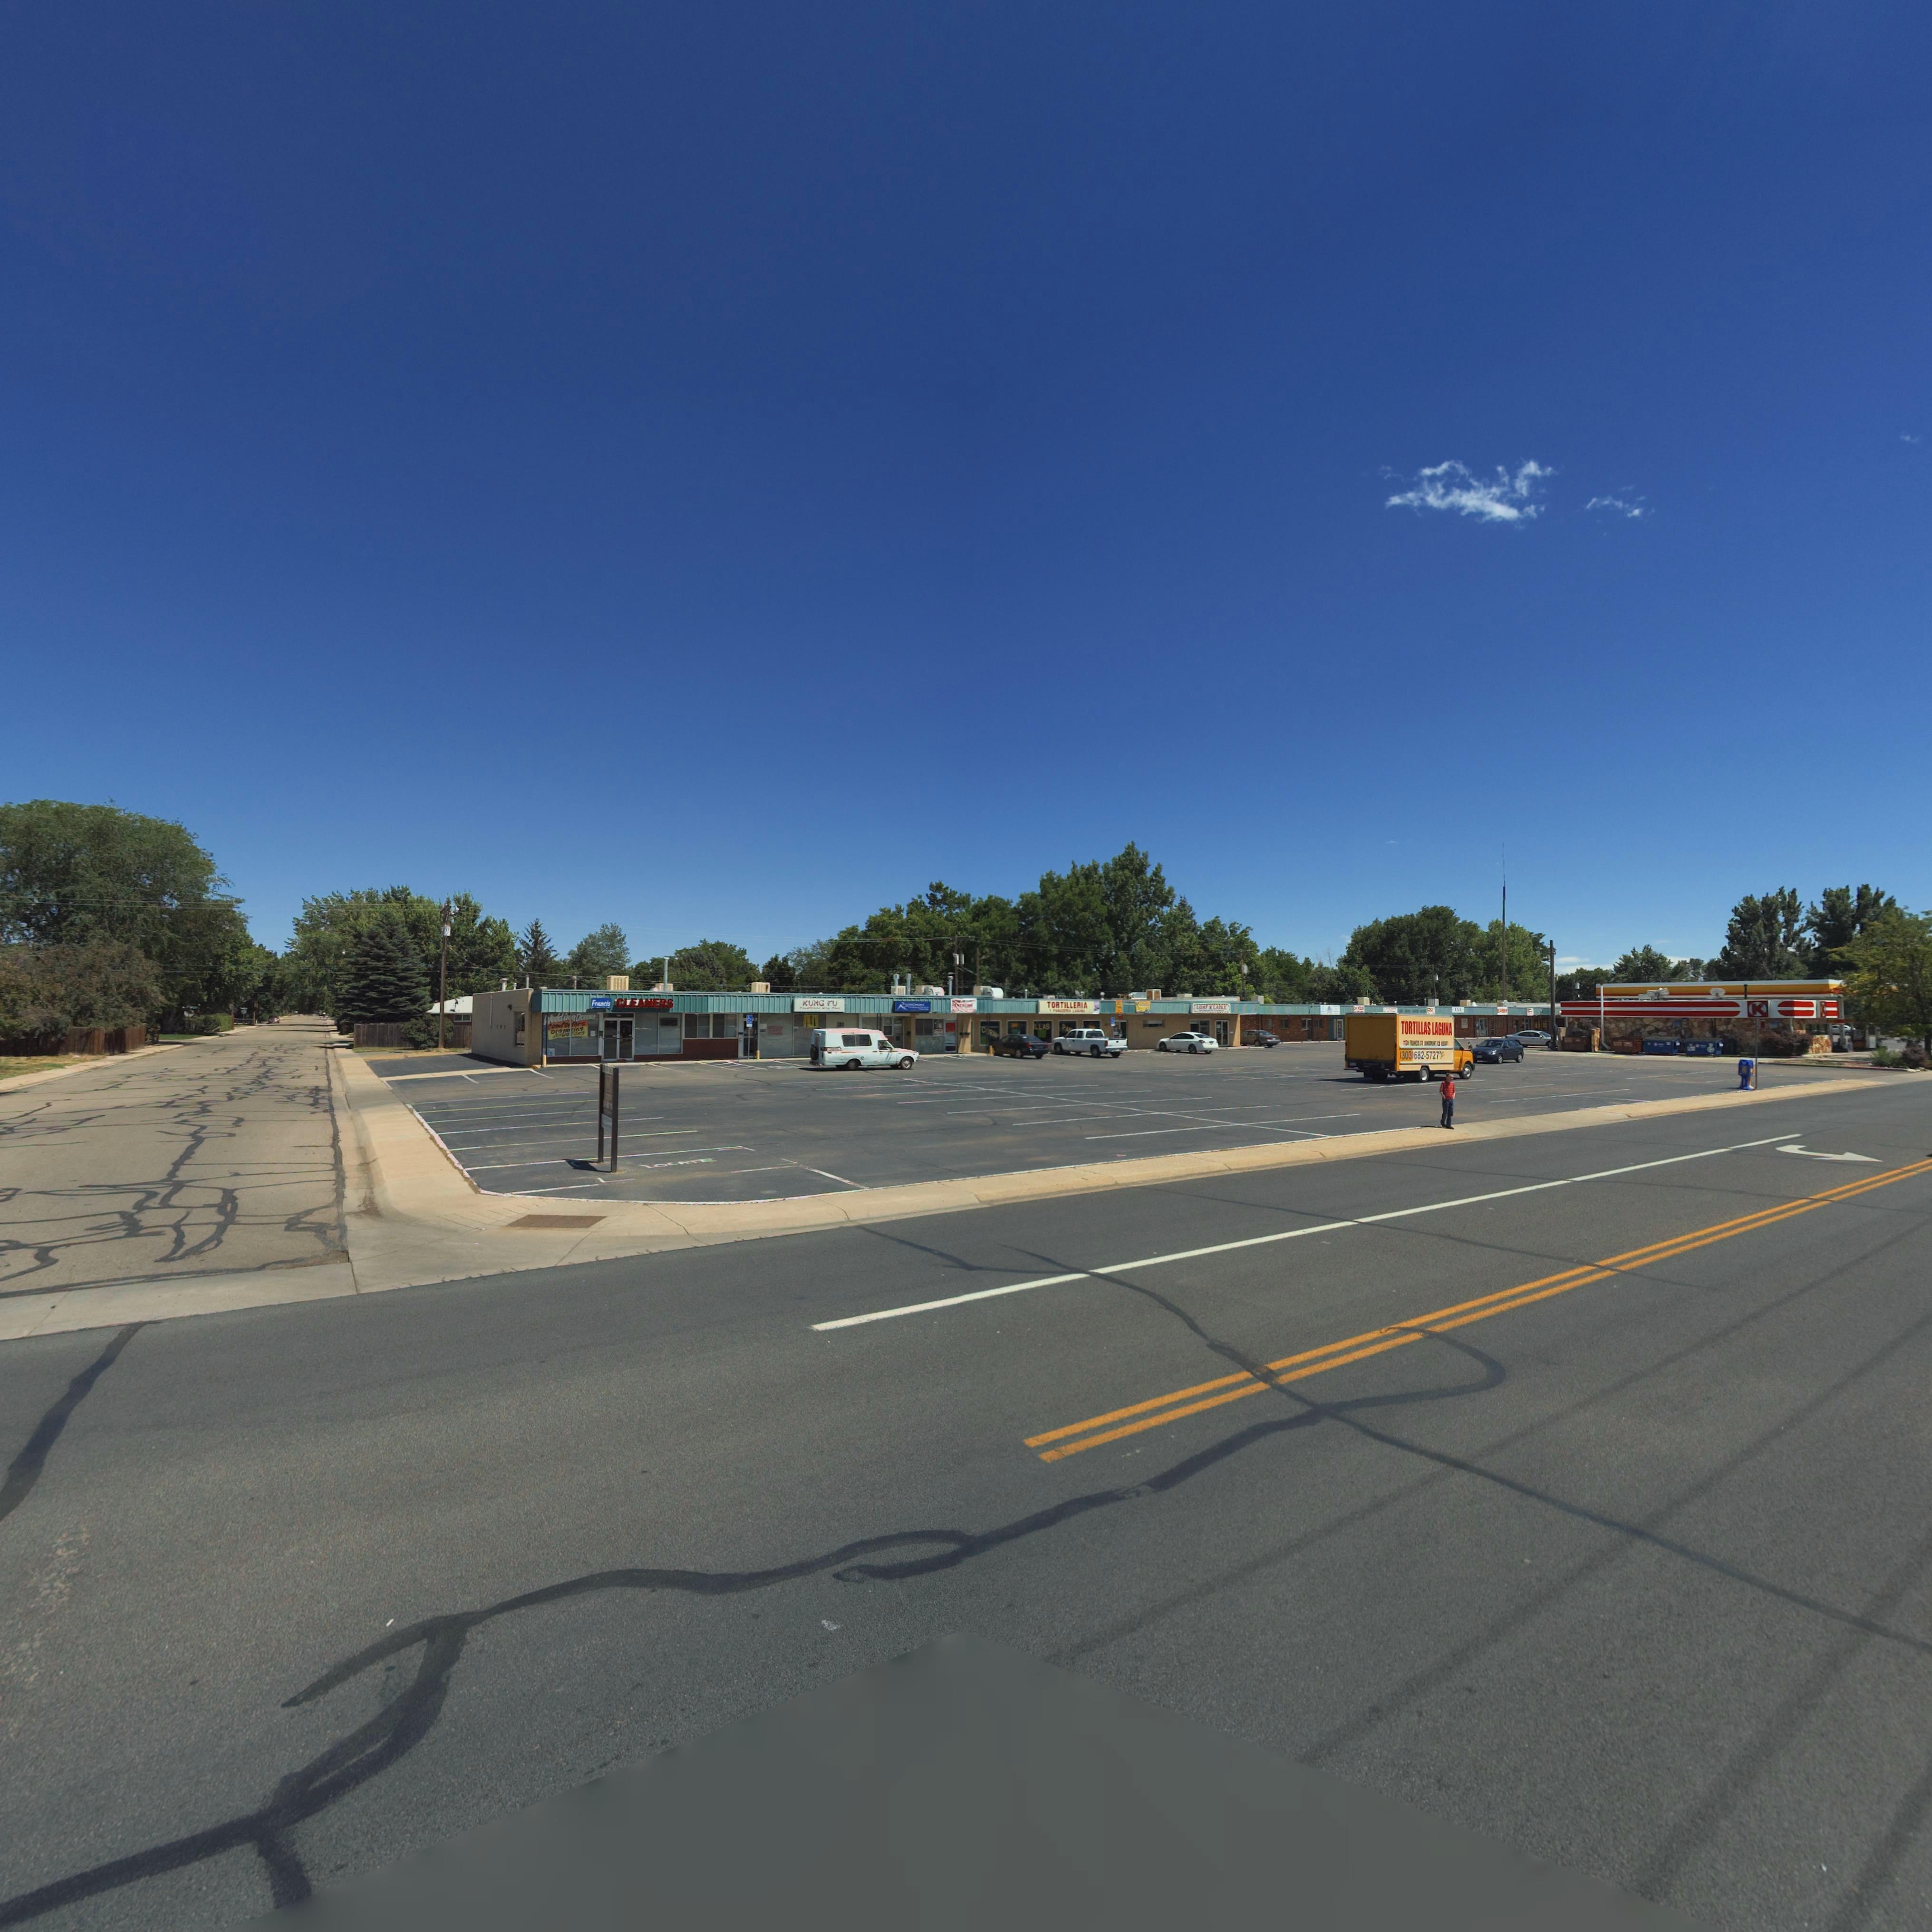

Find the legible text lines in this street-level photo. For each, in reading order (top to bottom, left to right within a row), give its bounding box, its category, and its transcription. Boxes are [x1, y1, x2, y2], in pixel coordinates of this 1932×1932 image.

[591, 999, 611, 1006] BusinessName: Francis
[616, 997, 674, 1008] BusinessName: CLEANERS
[802, 999, 837, 1006] BusinessName: KUNG FU
[1046, 1001, 1088, 1008] BusinessName: TORTILLERIA
[1053, 1008, 1085, 1013] BusinessName: P*****A LA***
[1196, 1005, 1227, 1009] BusinessName: LOAF * LADLE